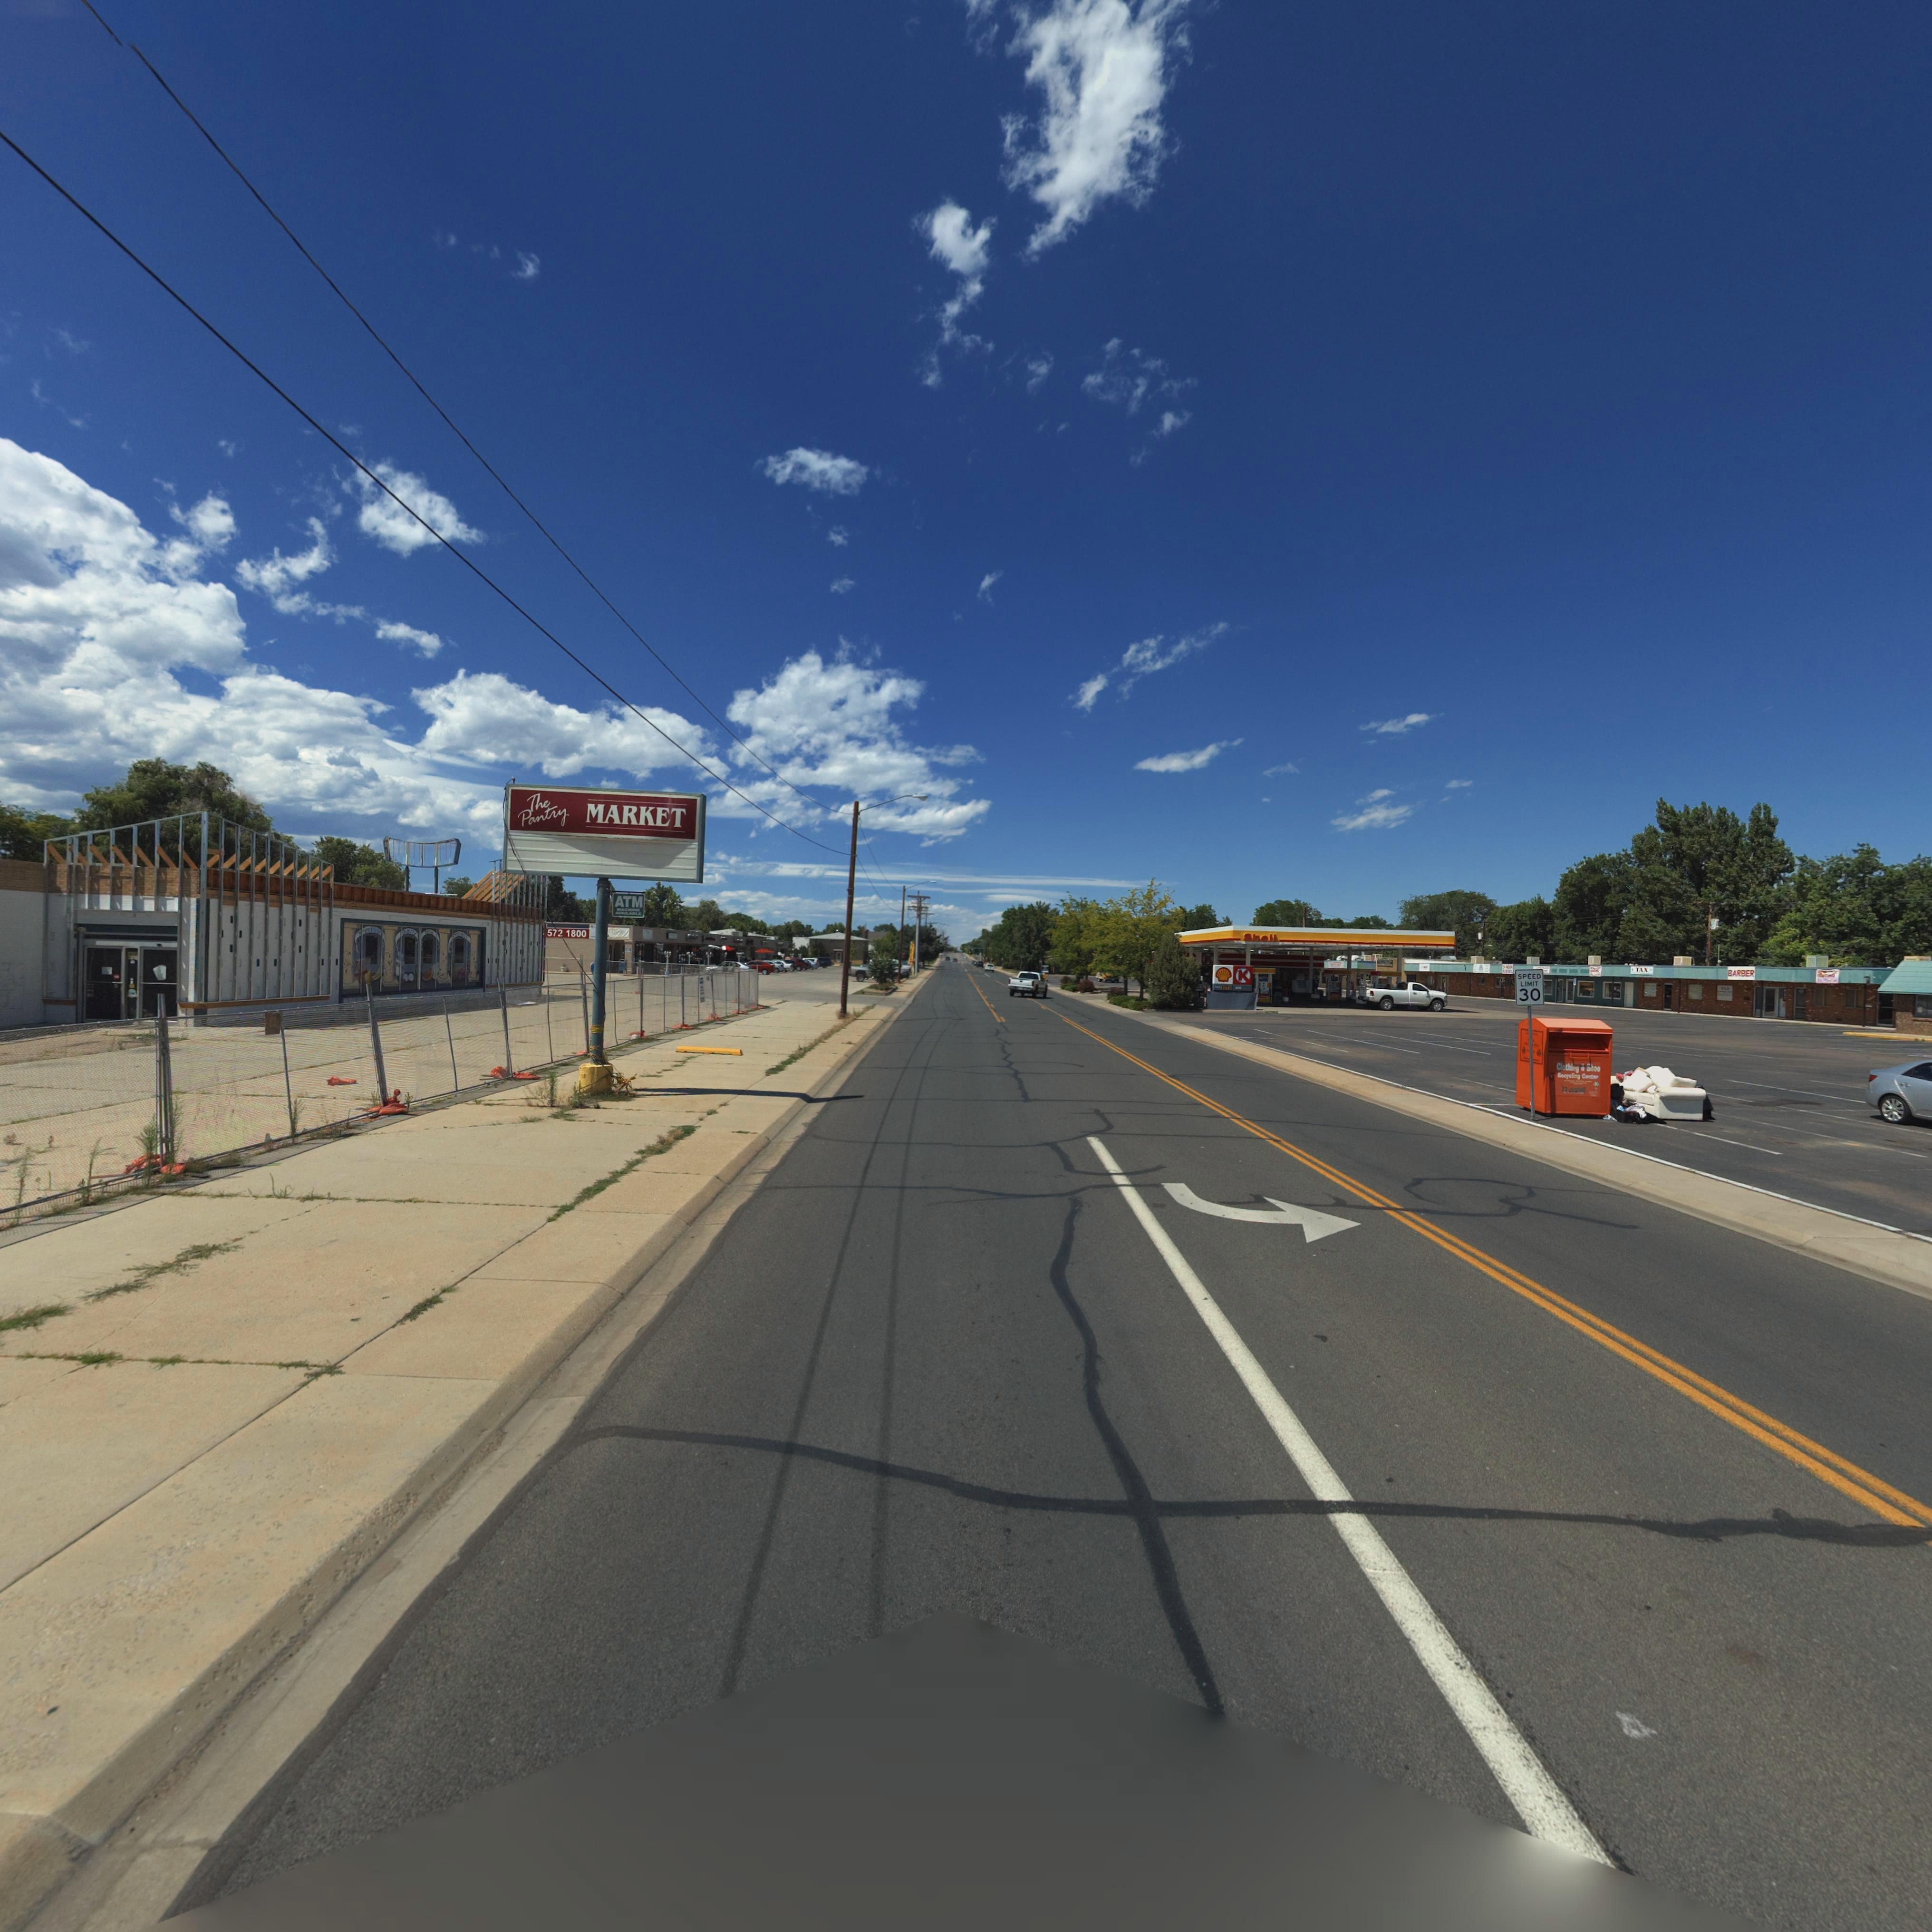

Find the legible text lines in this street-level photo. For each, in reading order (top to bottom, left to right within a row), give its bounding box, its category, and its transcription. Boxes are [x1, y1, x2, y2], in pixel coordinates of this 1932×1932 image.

[525, 792, 551, 812] BusinessName: The
[516, 805, 571, 828] BusinessName: Pantry
[584, 802, 687, 828] BusinessName: MARKET
[1242, 933, 1276, 942] BusinessName: Shell
[1237, 969, 1249, 983] BusinessName: K